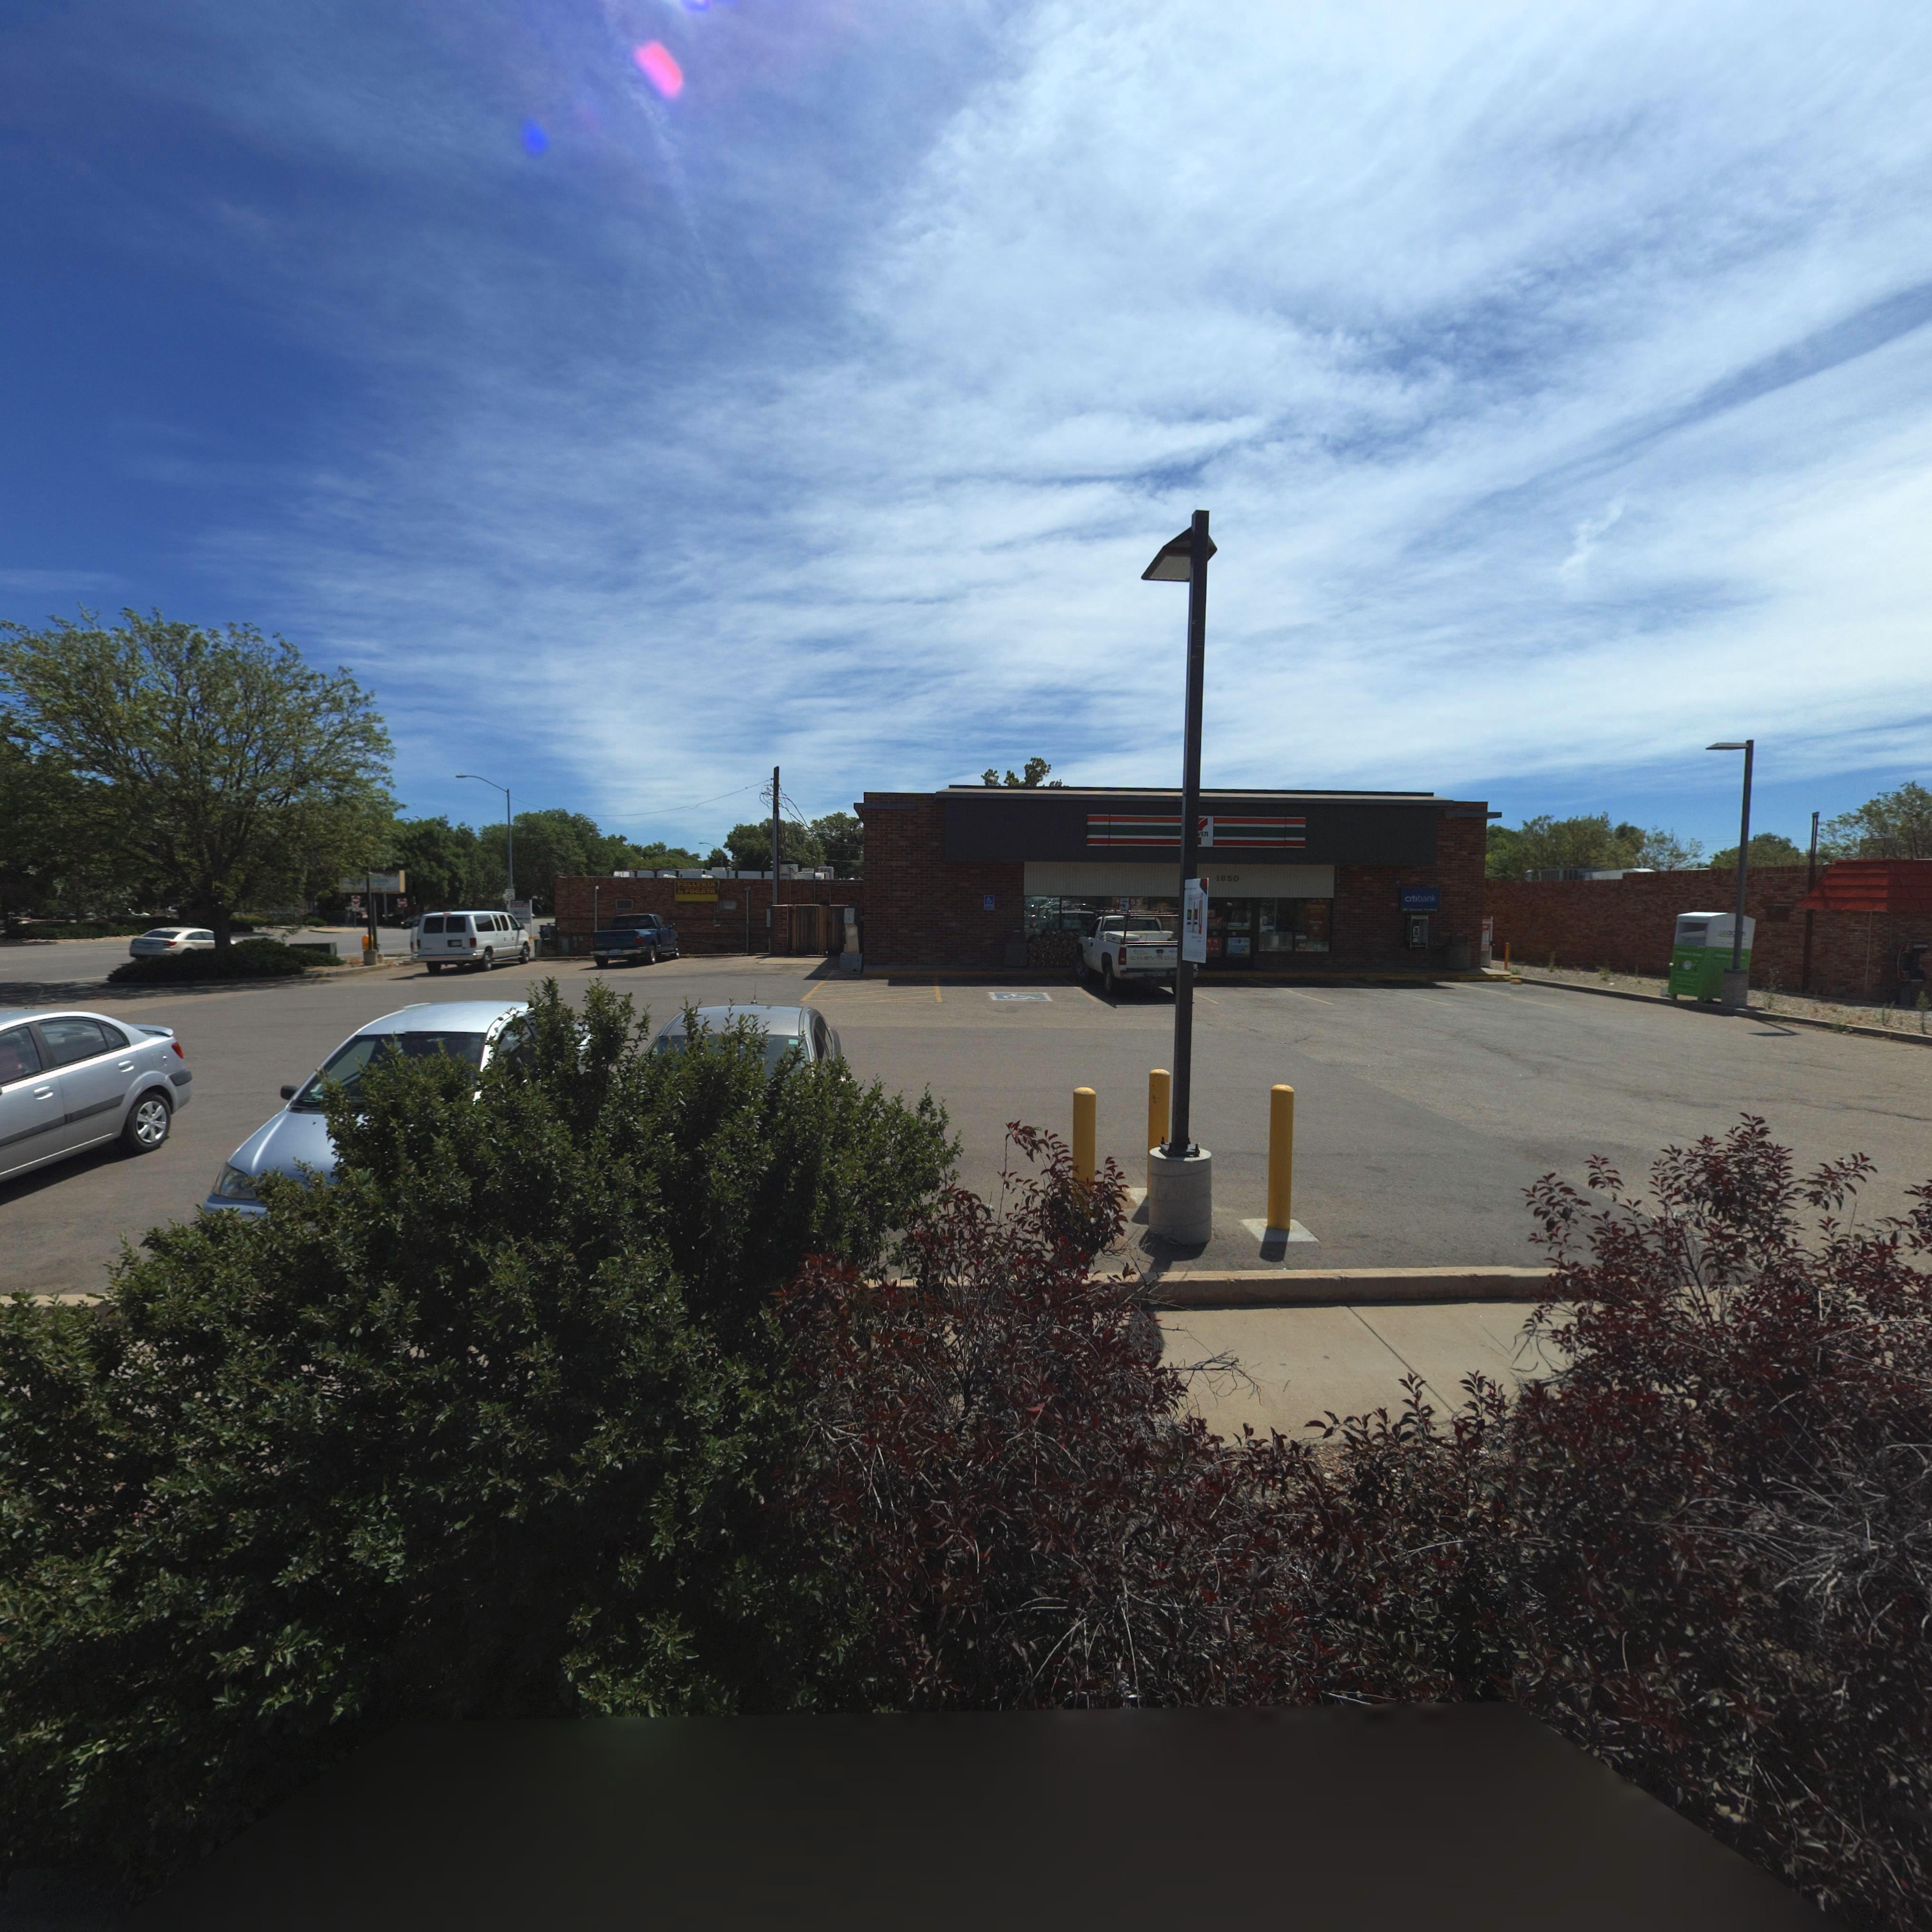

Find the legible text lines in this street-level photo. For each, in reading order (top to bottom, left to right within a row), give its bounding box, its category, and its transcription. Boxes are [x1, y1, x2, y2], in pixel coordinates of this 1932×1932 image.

[1198, 831, 1208, 837] BusinessName: *En
[1216, 875, 1239, 882] StreetNumber: 1650